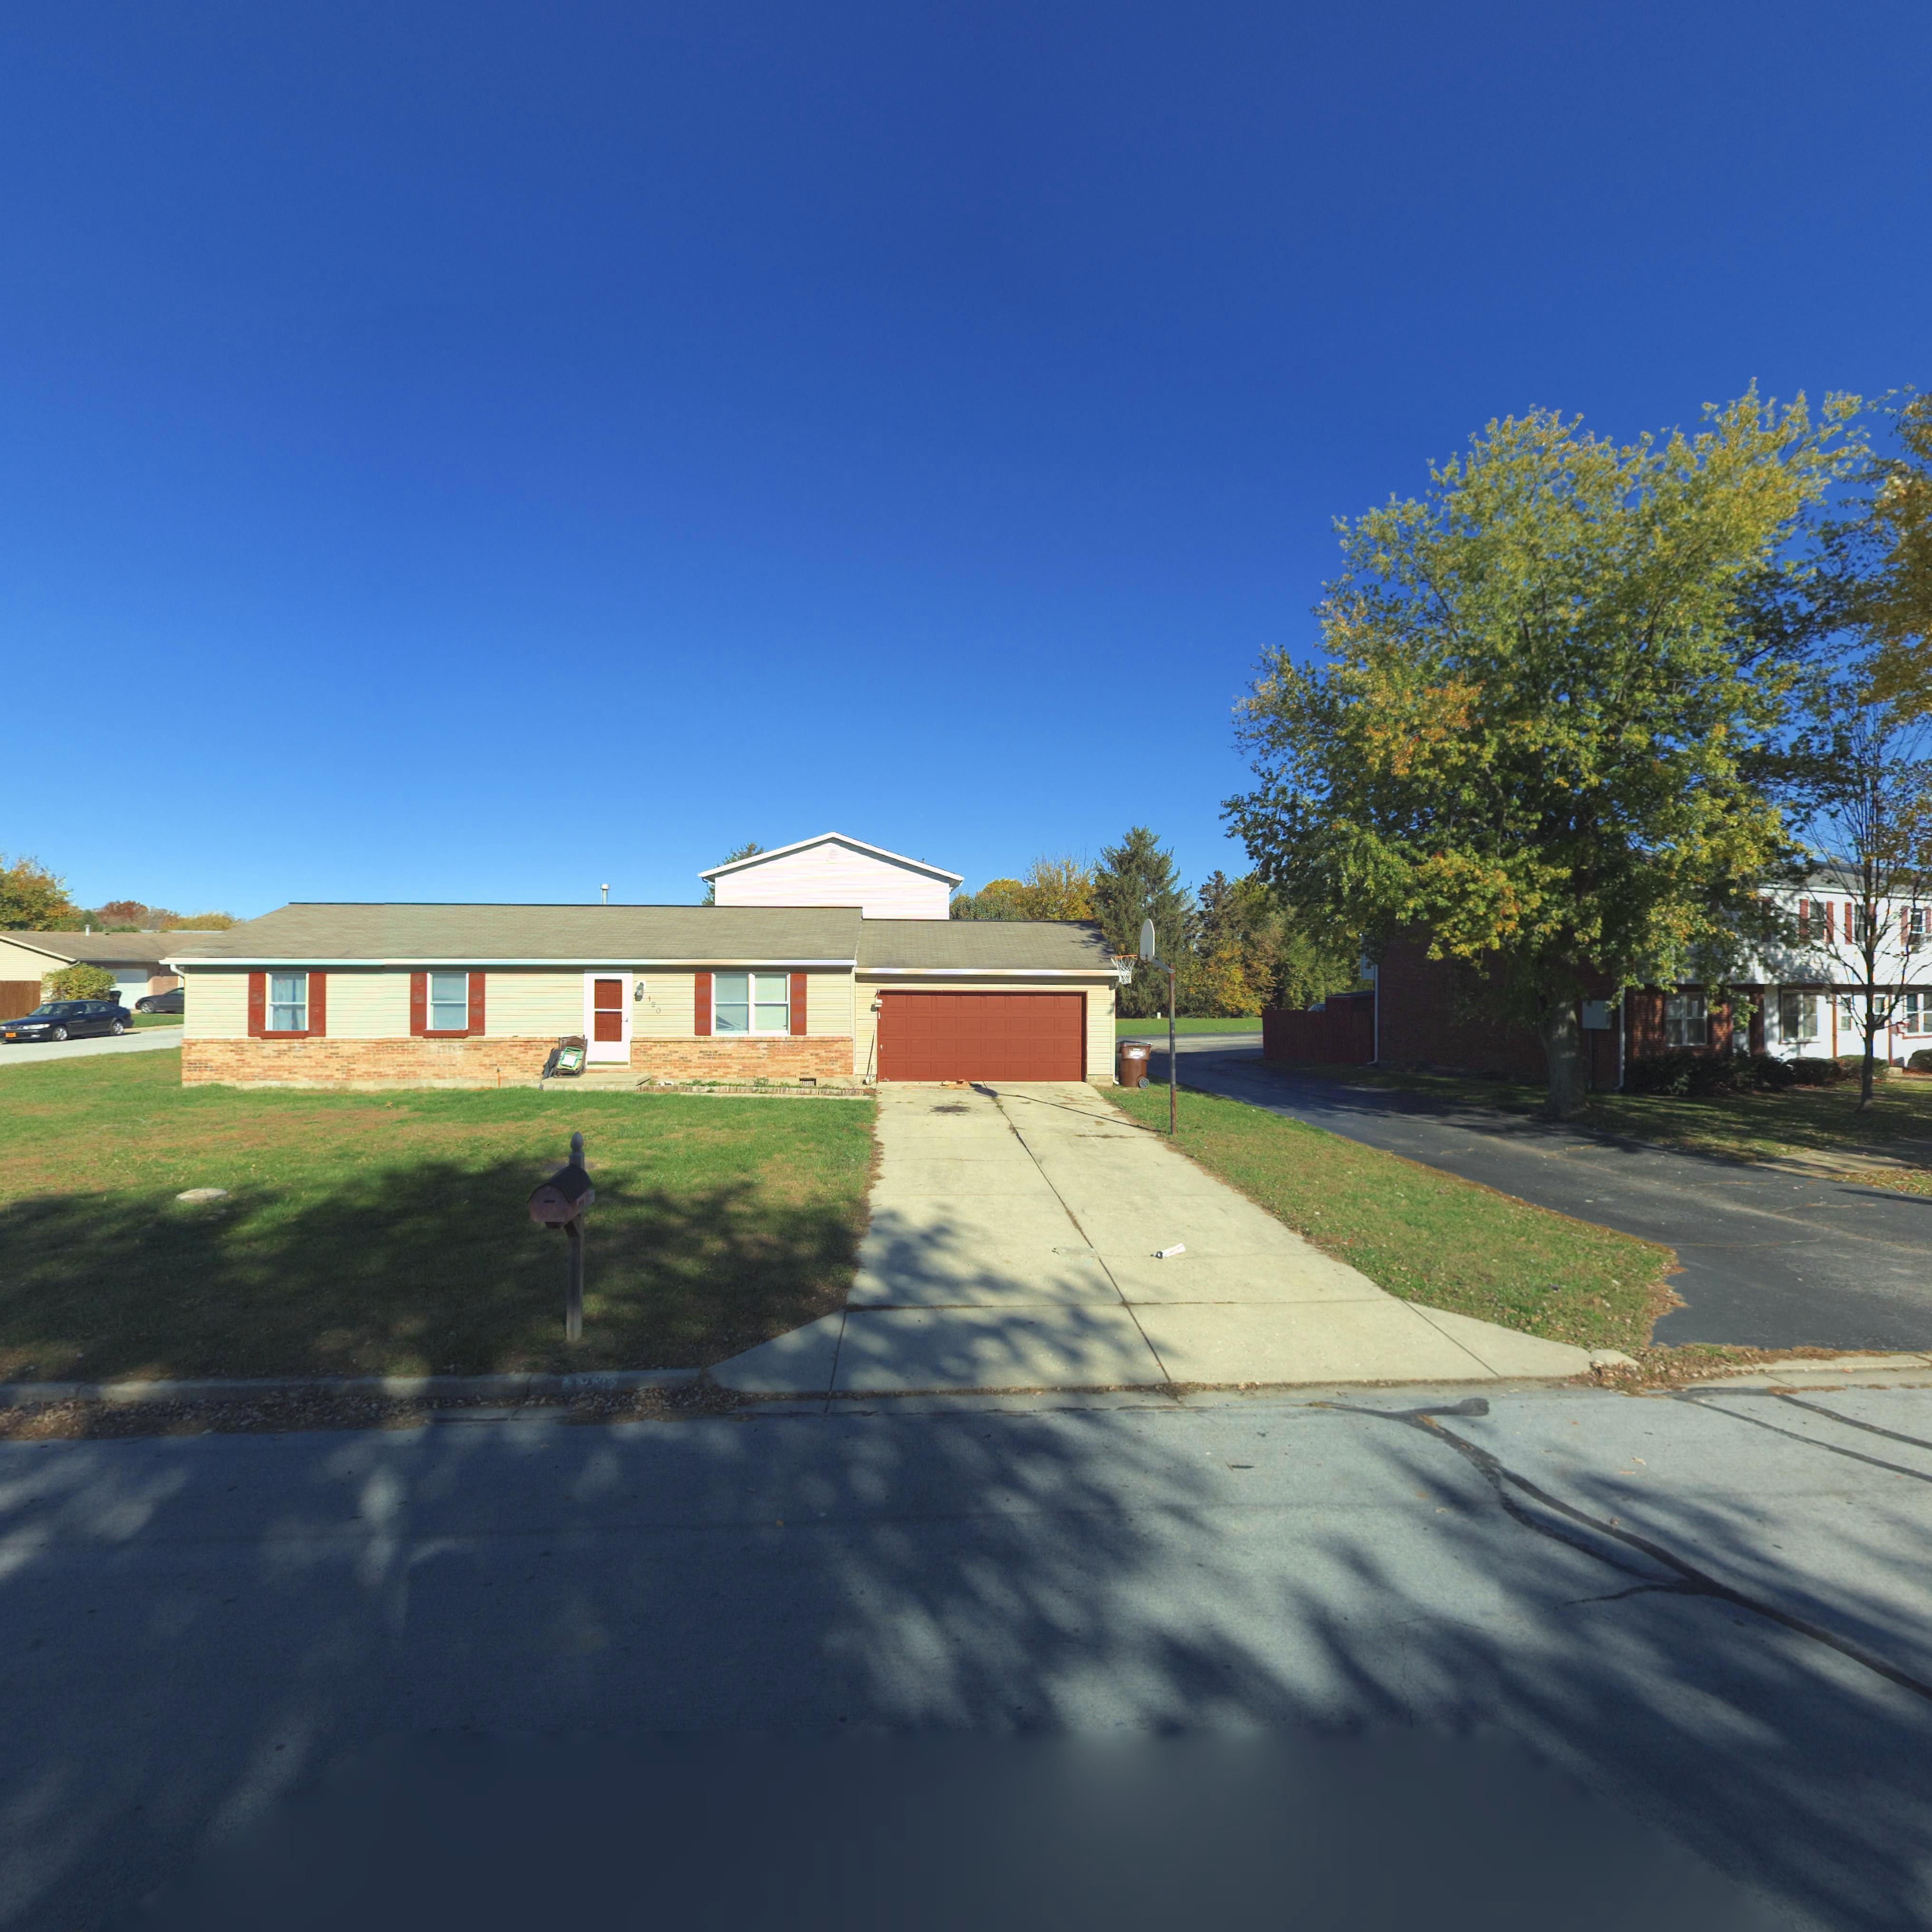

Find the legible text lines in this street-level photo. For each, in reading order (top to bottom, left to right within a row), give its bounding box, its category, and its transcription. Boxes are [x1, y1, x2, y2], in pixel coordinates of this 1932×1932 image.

[647, 995, 662, 1015] StreetNumber: 120